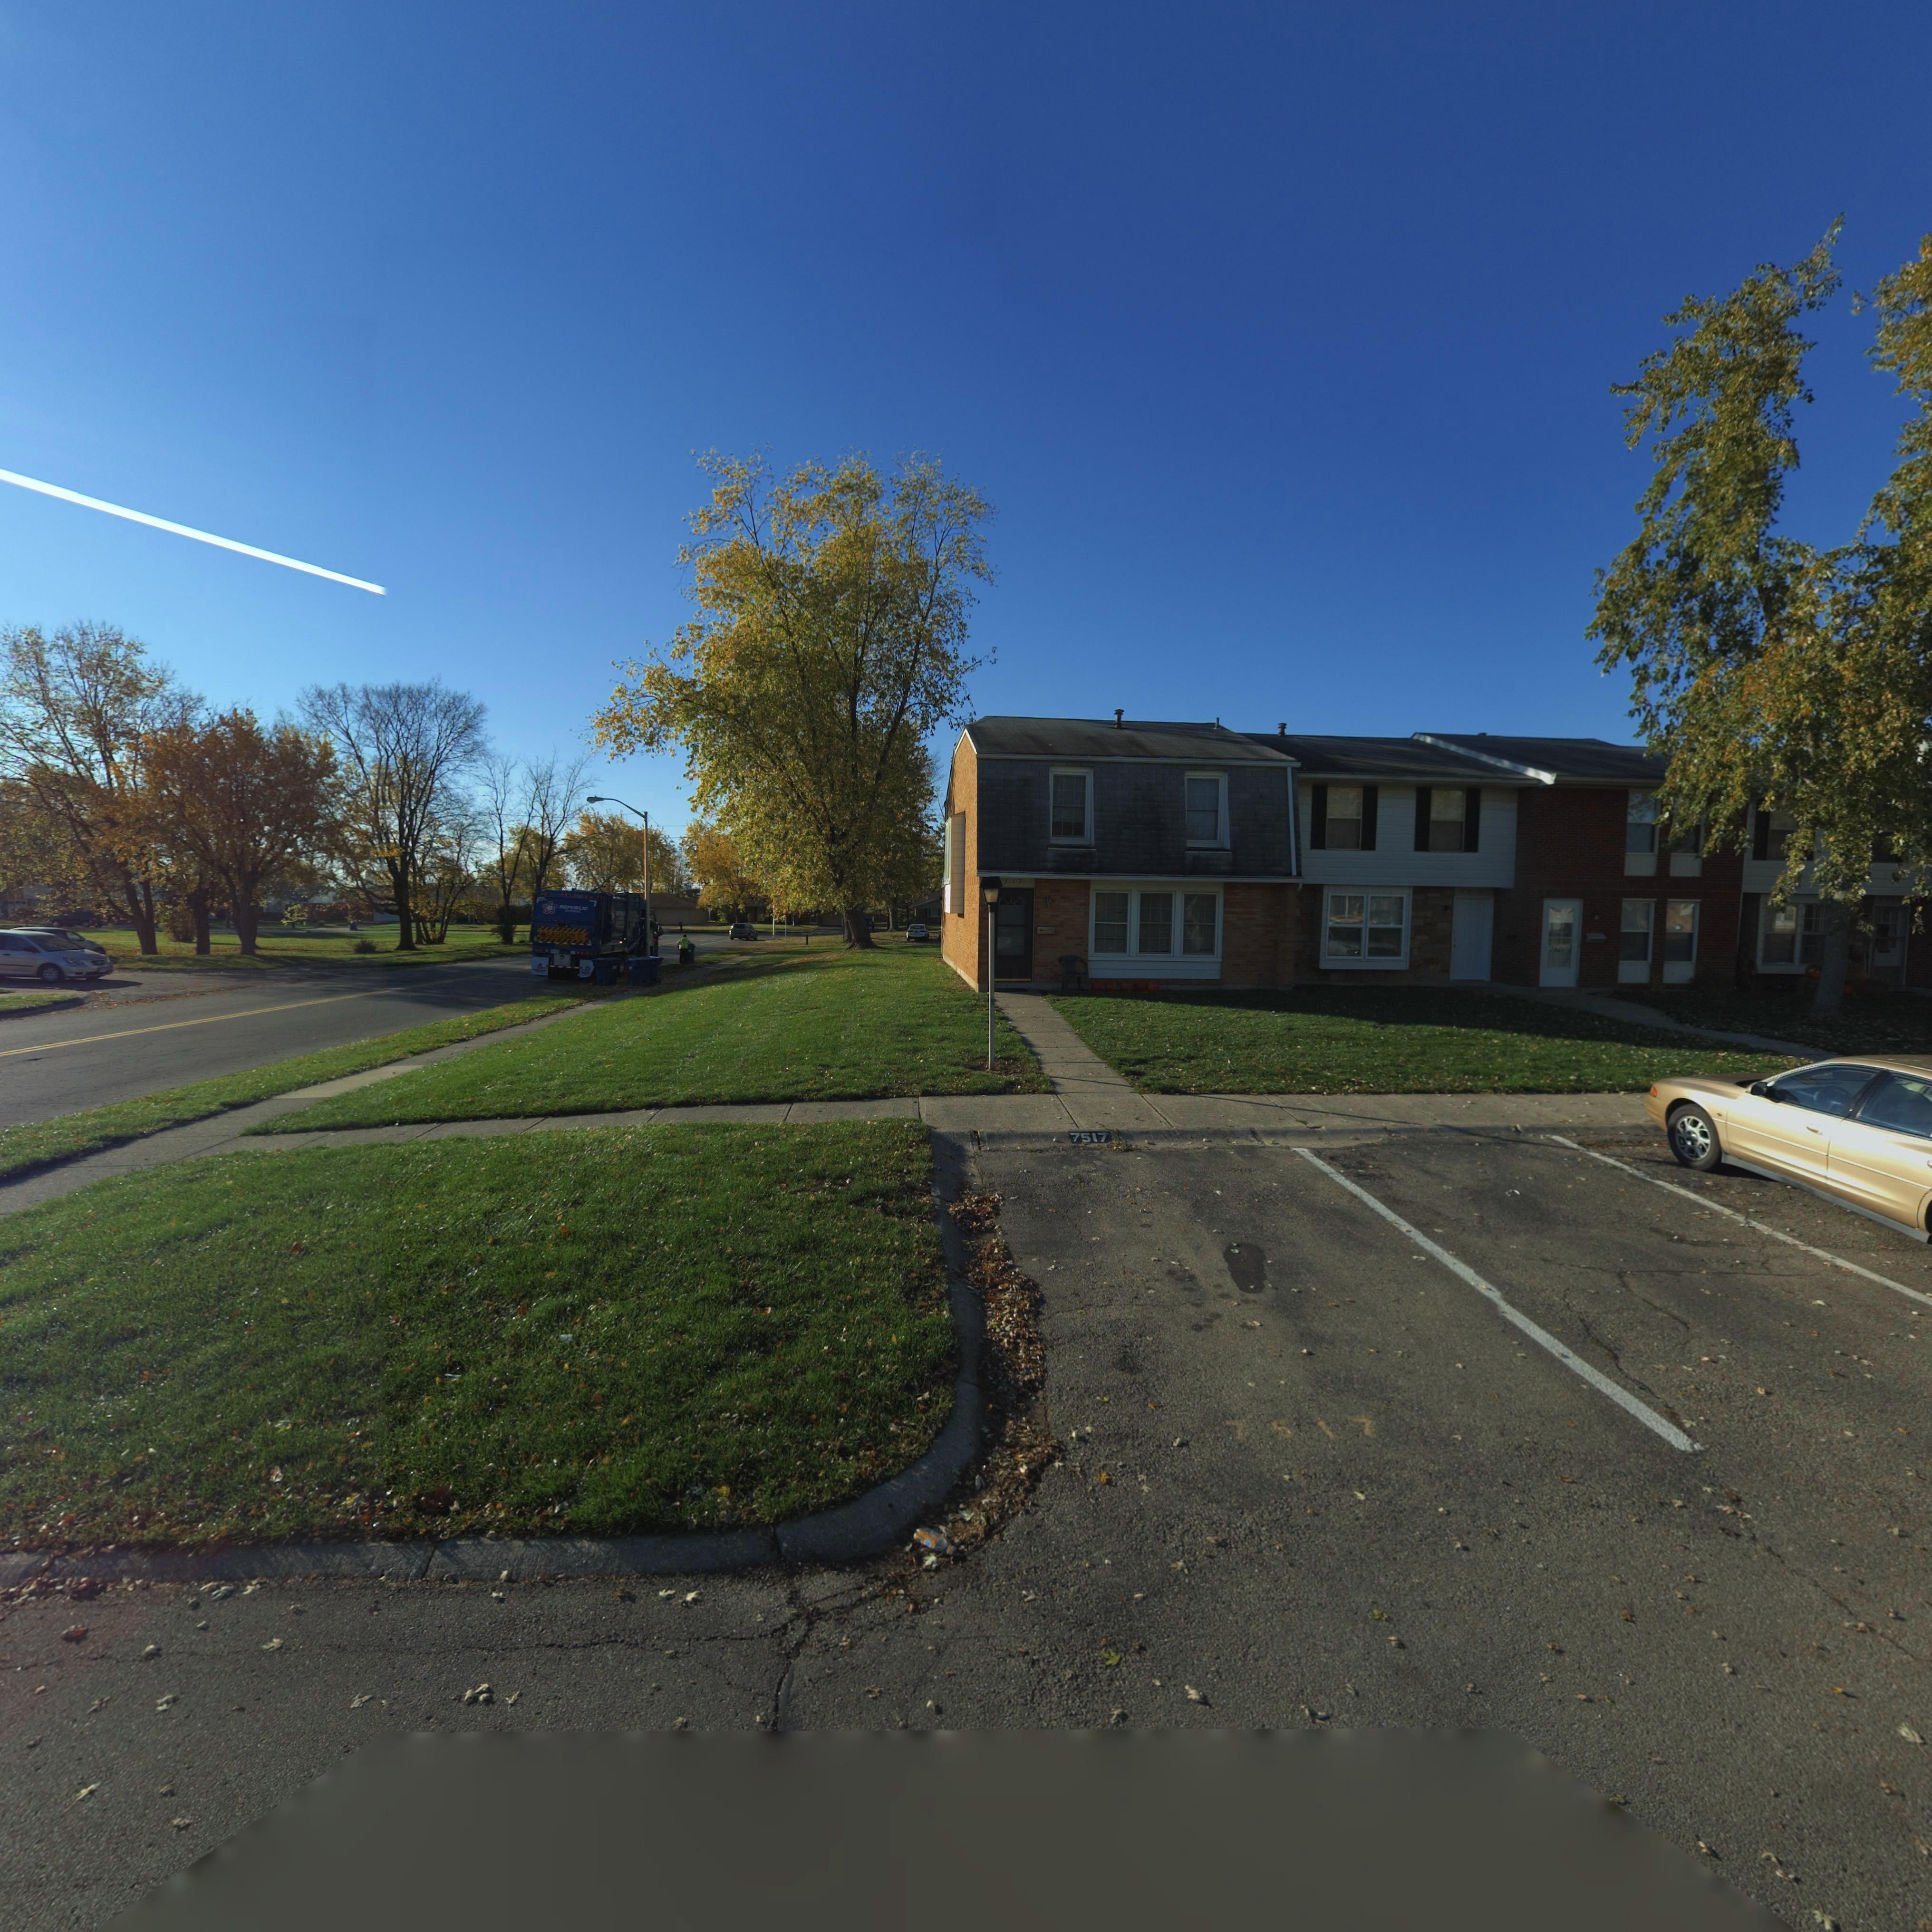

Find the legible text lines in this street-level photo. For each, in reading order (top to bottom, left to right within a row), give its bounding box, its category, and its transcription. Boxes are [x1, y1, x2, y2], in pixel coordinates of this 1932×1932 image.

[1004, 878, 1024, 885] StreetNumber: 517
[557, 903, 589, 912] None: REPUBLIC
[545, 929, 576, 940] None: CAUTION
[1068, 1131, 1109, 1143] StreetNumber: 7517